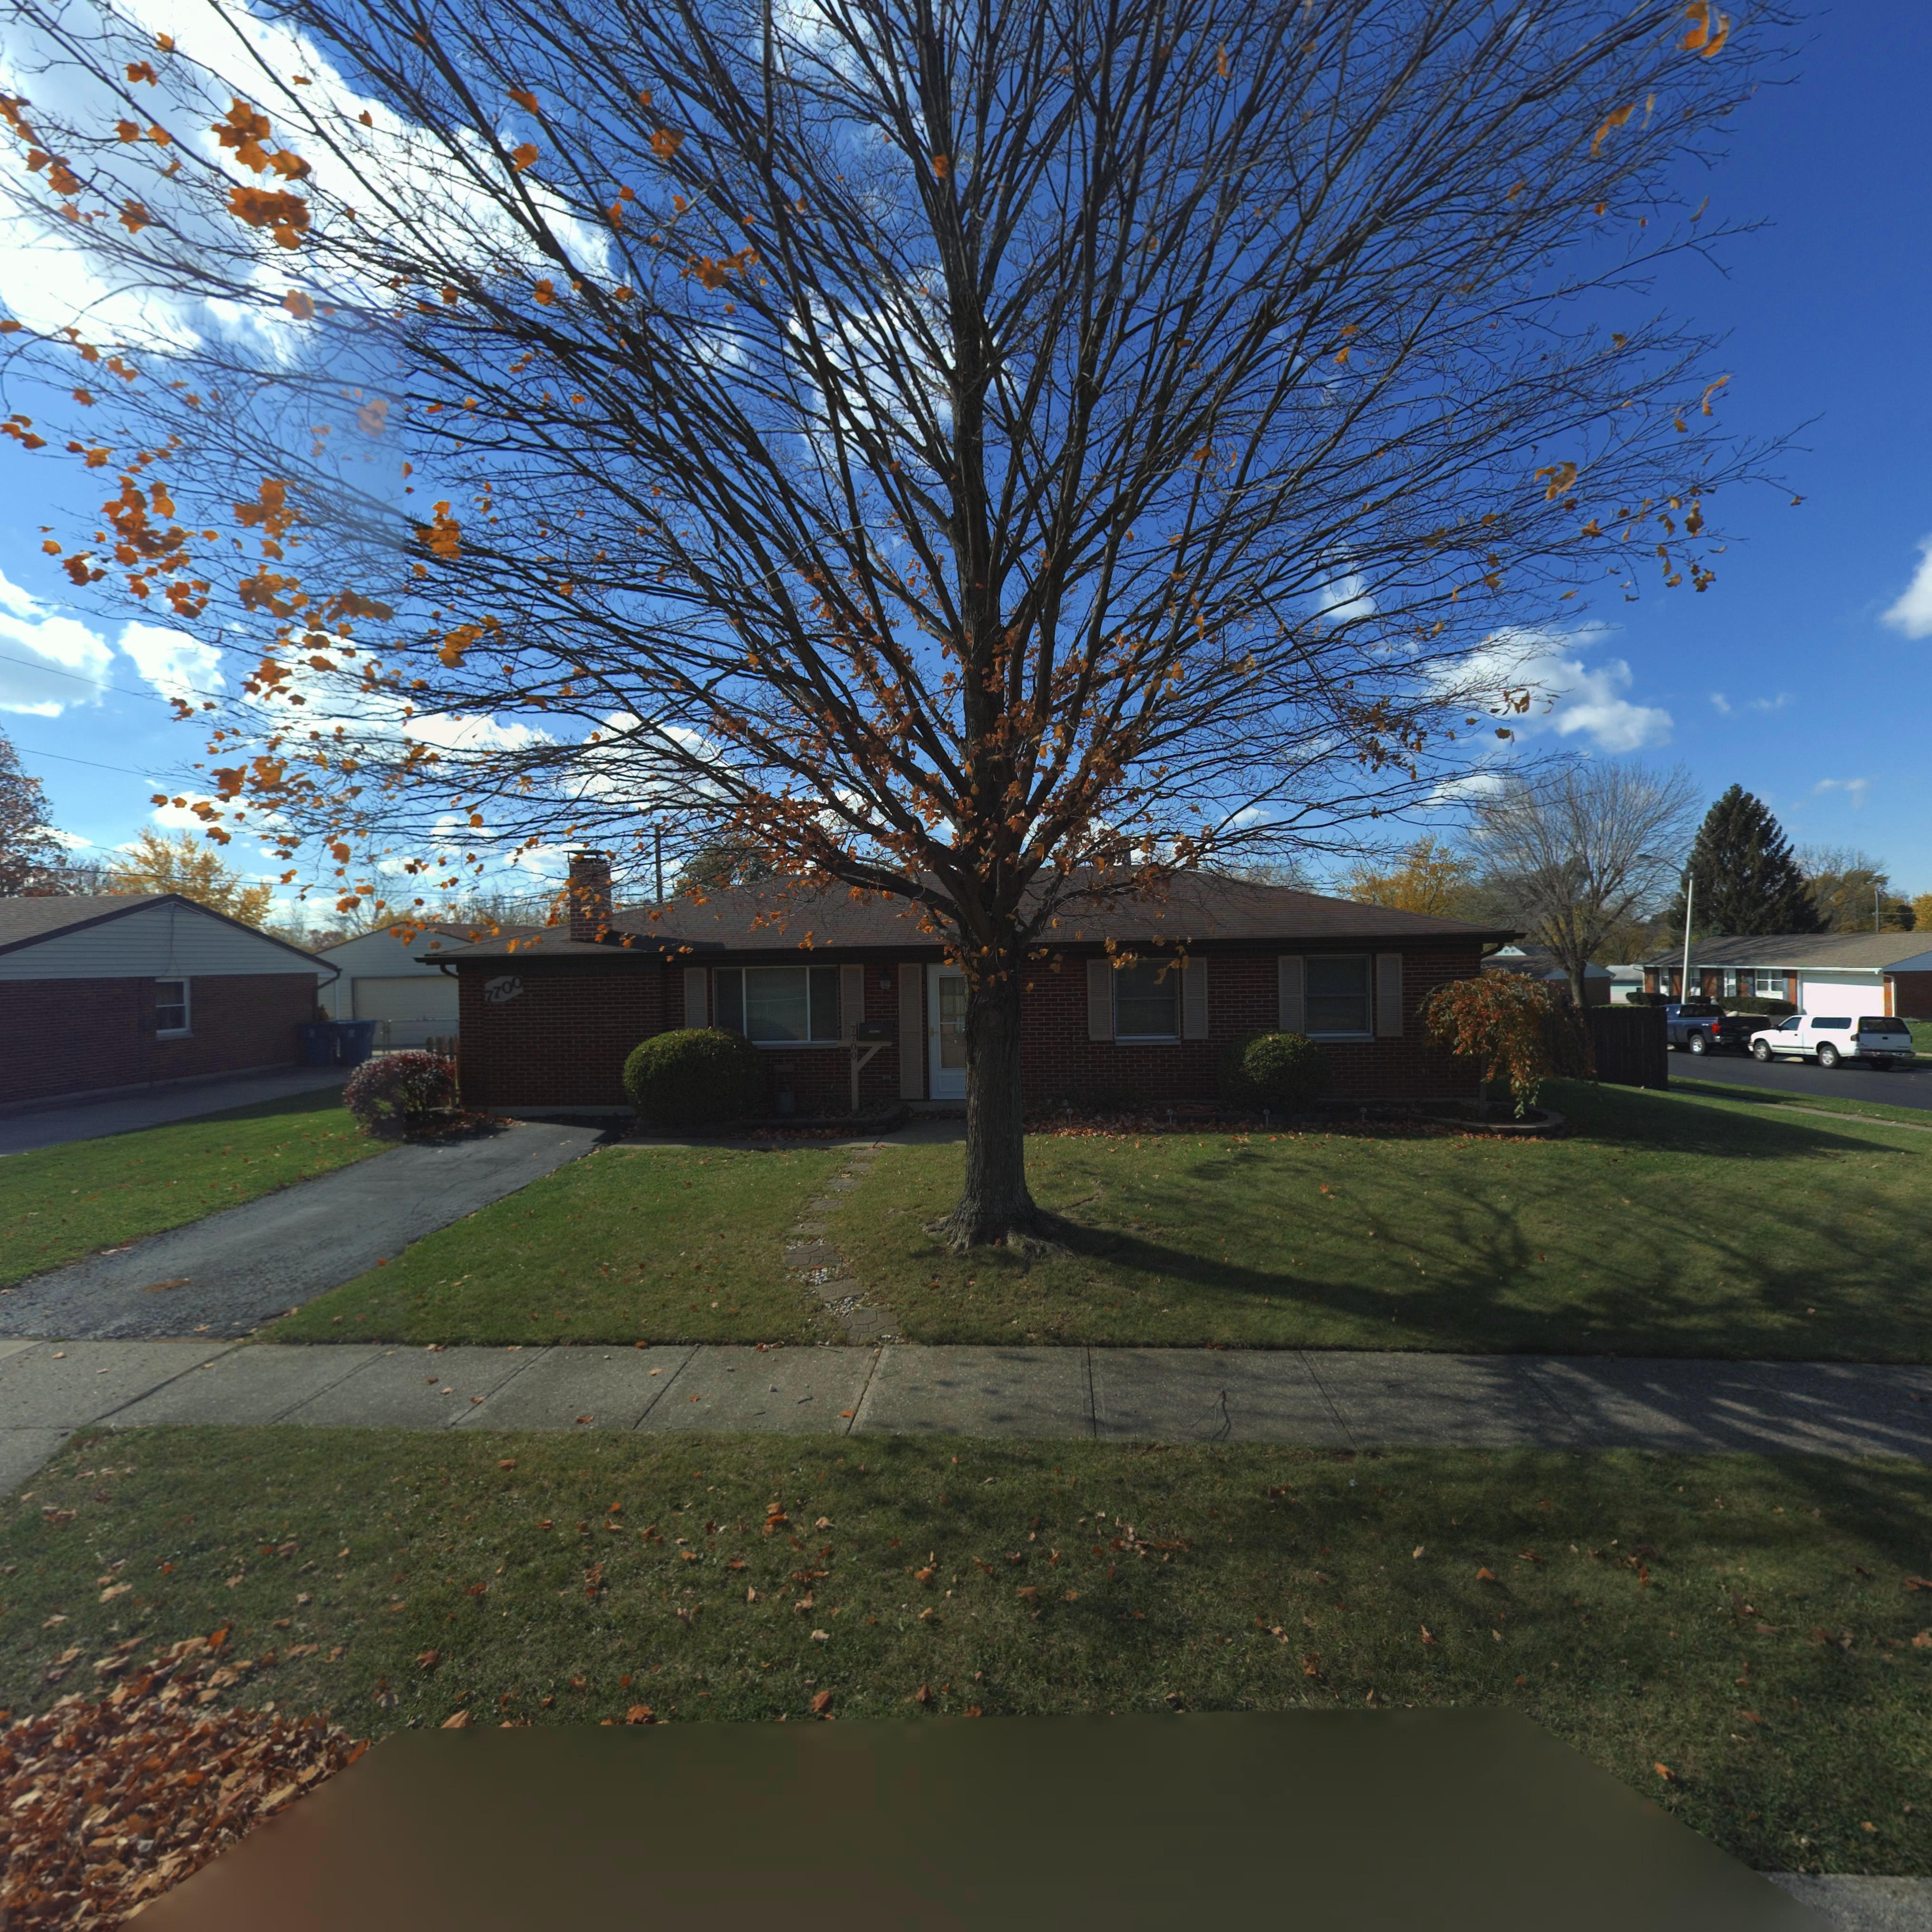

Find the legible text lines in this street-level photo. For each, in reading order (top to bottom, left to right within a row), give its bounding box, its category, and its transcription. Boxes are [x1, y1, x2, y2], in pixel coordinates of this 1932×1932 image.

[485, 975, 523, 1004] StreetNumber: 7700
[850, 1025, 857, 1060] StreetNumber: 7700